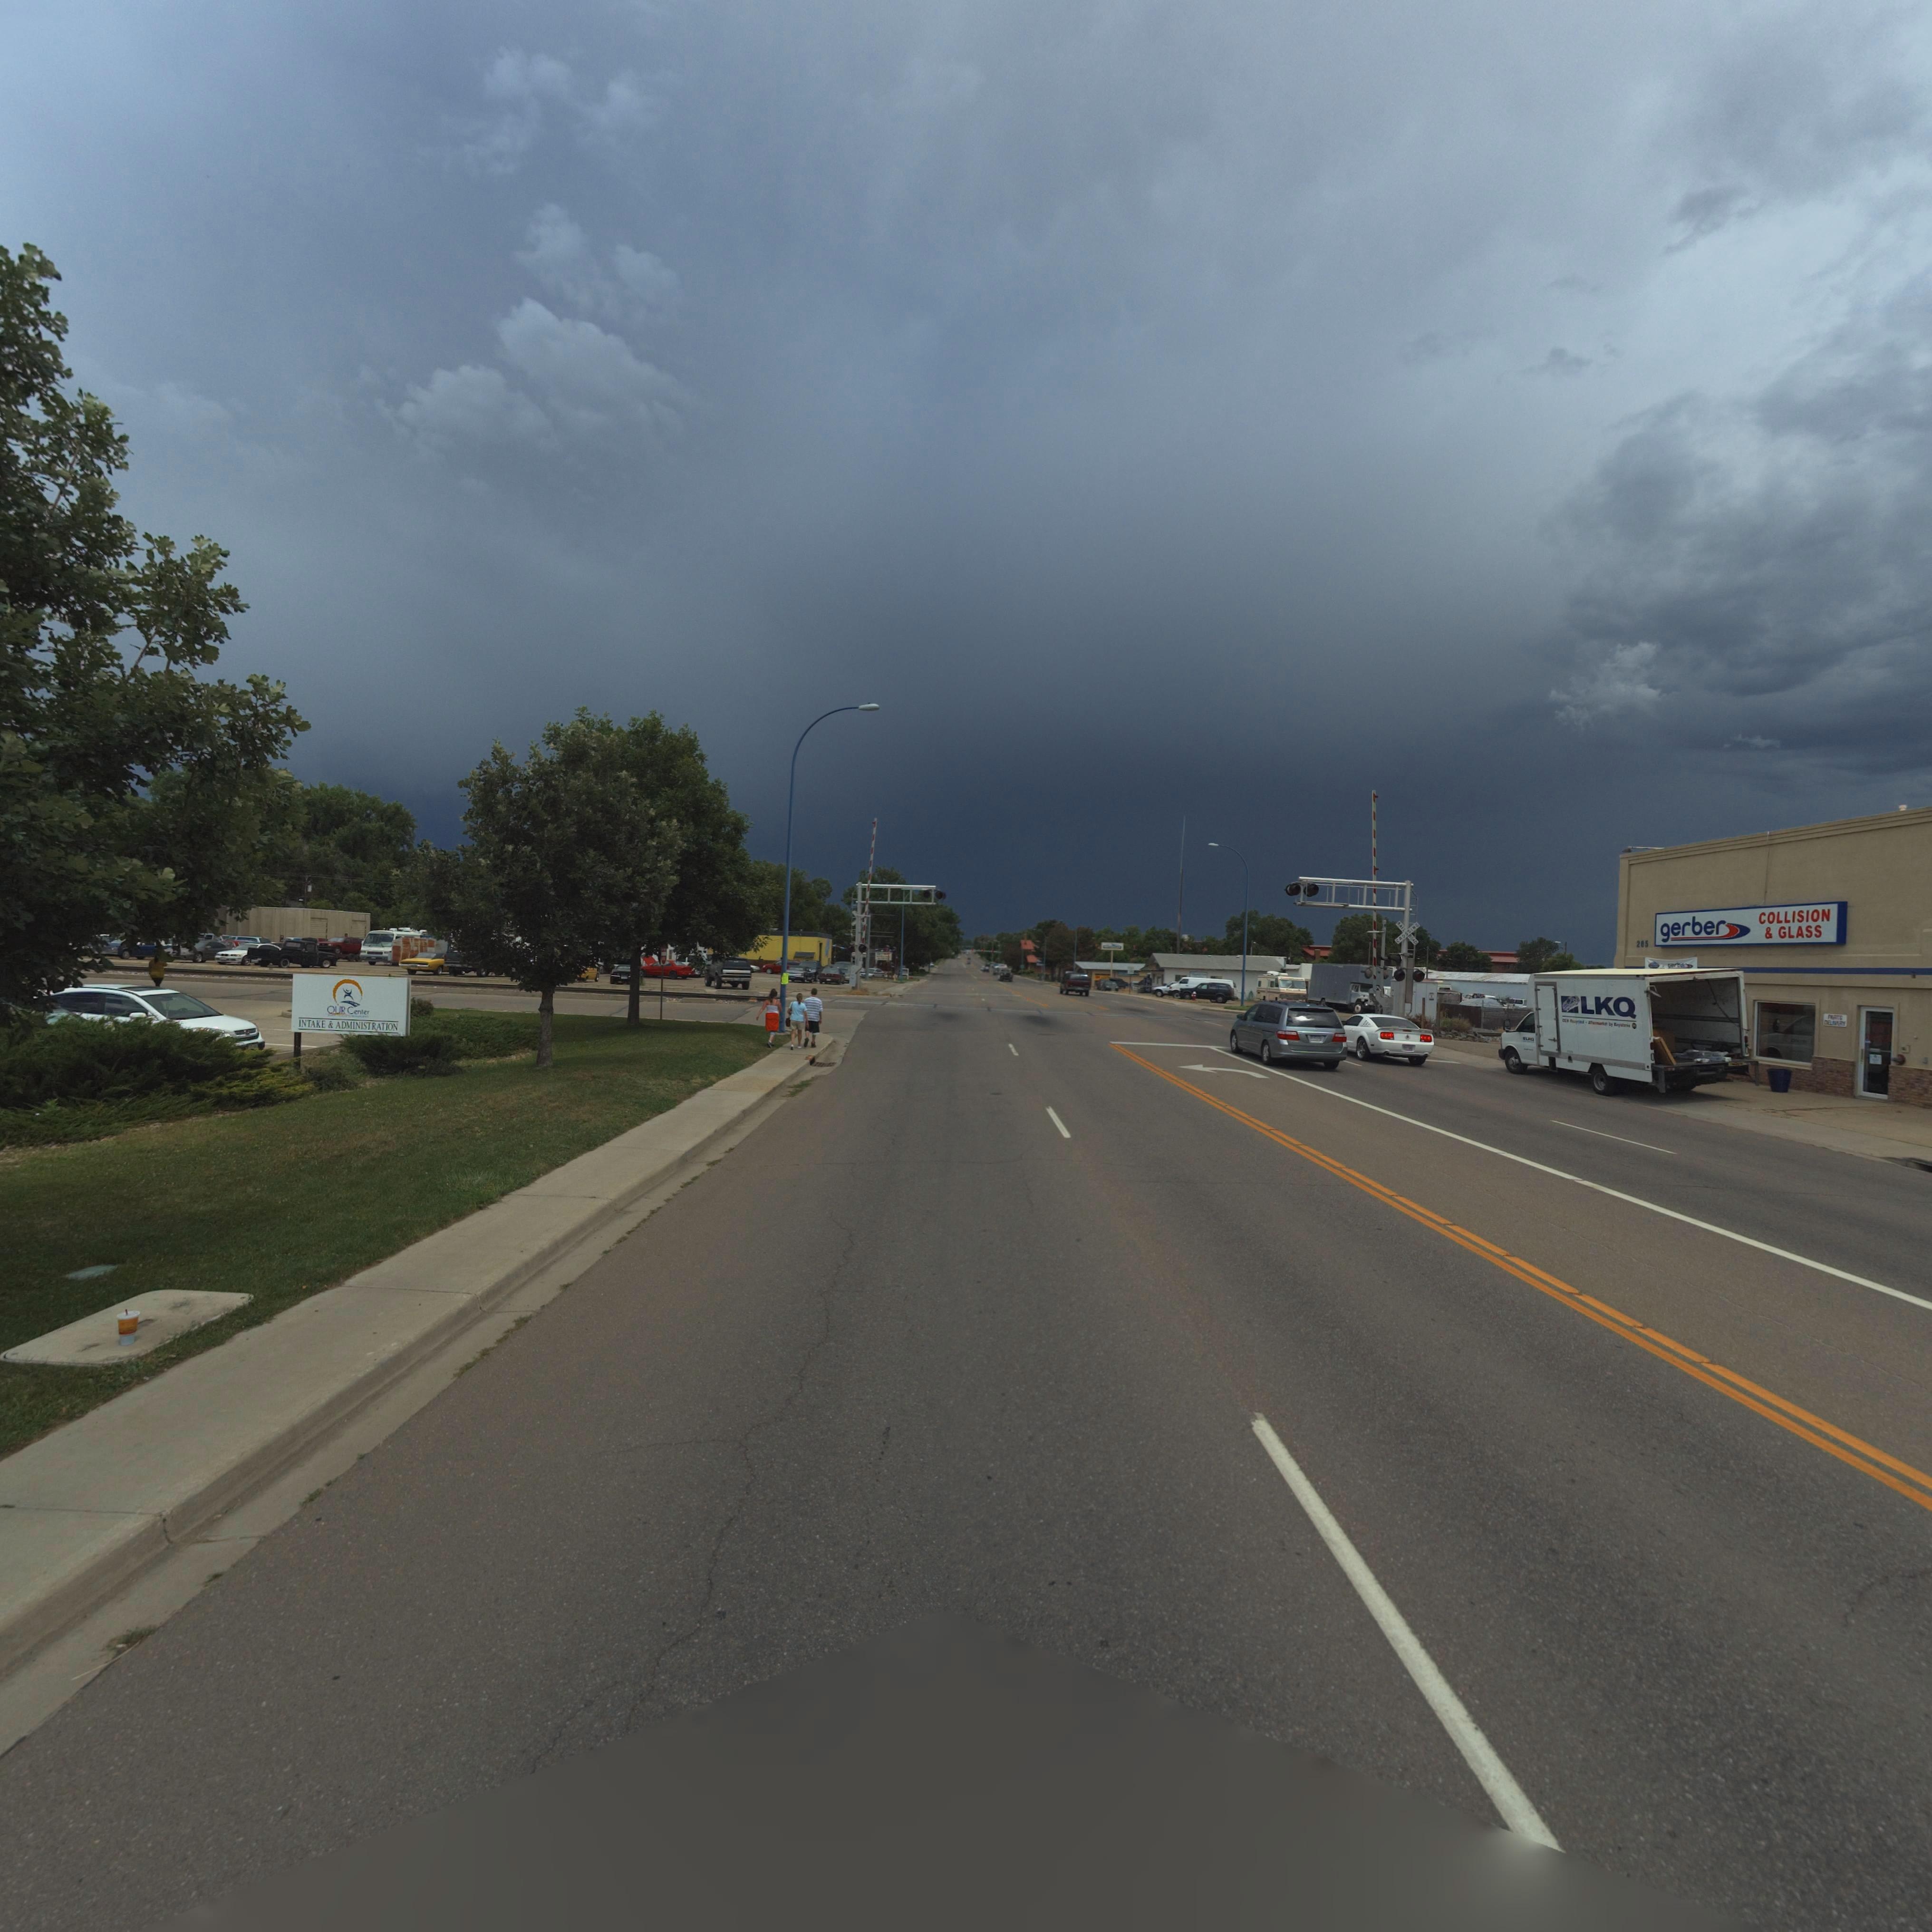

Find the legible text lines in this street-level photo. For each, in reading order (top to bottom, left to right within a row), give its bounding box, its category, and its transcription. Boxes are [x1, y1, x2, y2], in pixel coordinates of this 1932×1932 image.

[1758, 908, 1831, 925] BusinessName: COLLISION
[1660, 915, 1728, 943] BusinessName: gerber
[1764, 924, 1822, 939] BusinessName:  GLASS
[1636, 939, 1649, 947] StreetNumber: 205
[327, 1005, 370, 1015] BusinessName: OUR Center